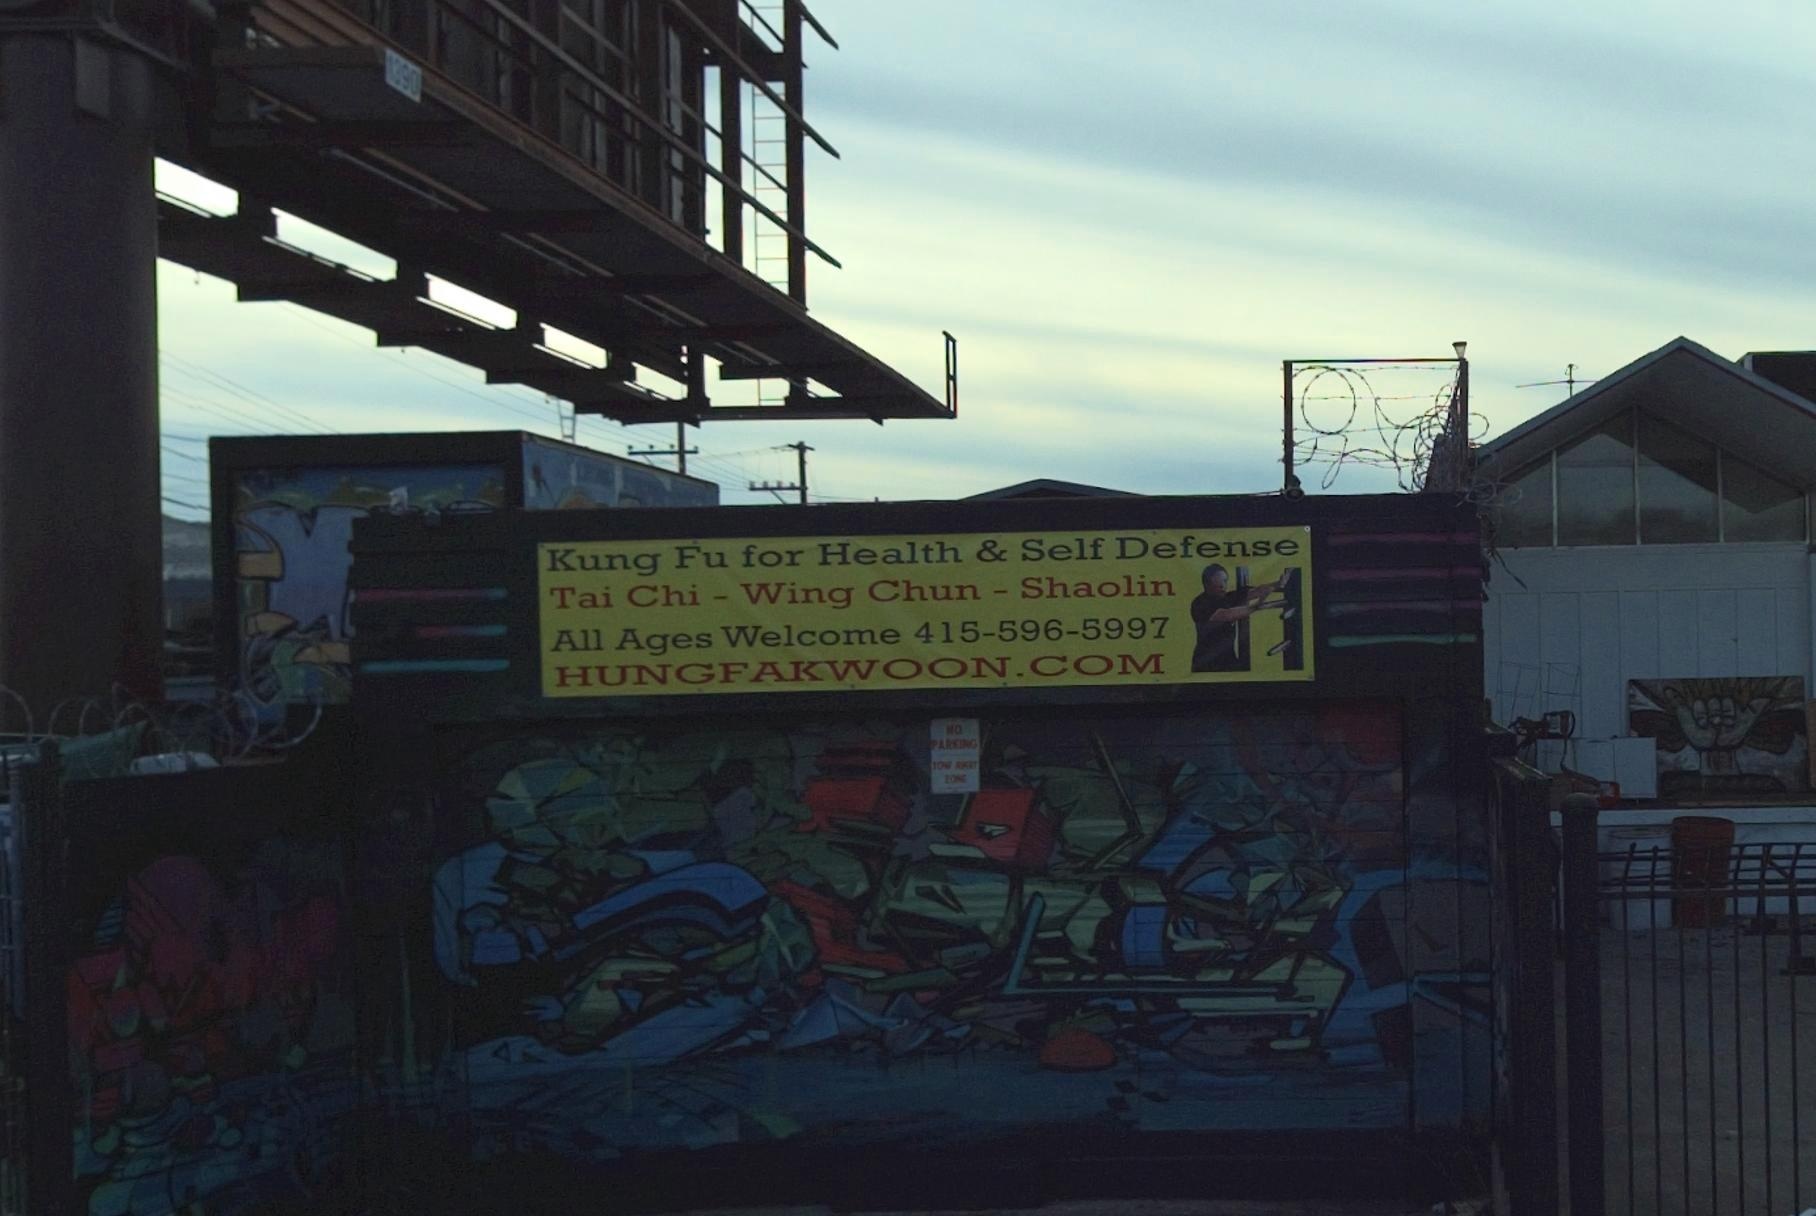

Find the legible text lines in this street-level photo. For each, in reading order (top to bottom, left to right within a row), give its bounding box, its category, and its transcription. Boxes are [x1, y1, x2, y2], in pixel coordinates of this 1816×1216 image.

[541, 528, 1304, 580] BusinessName: Kung Fu for Health & Self Defense
[543, 567, 1182, 615] None: Tai Chi - Wing Chun - Shaolin
[539, 610, 1176, 661] None: All Ages Welcome 415-596-5997
[548, 648, 1173, 692] None: HUNGFAKWOON.COM
[928, 736, 979, 752] None: PARKING
[944, 722, 965, 738] None: NO
[928, 757, 981, 773] None: TOW AWAY
[940, 771, 971, 787] None: ZONE